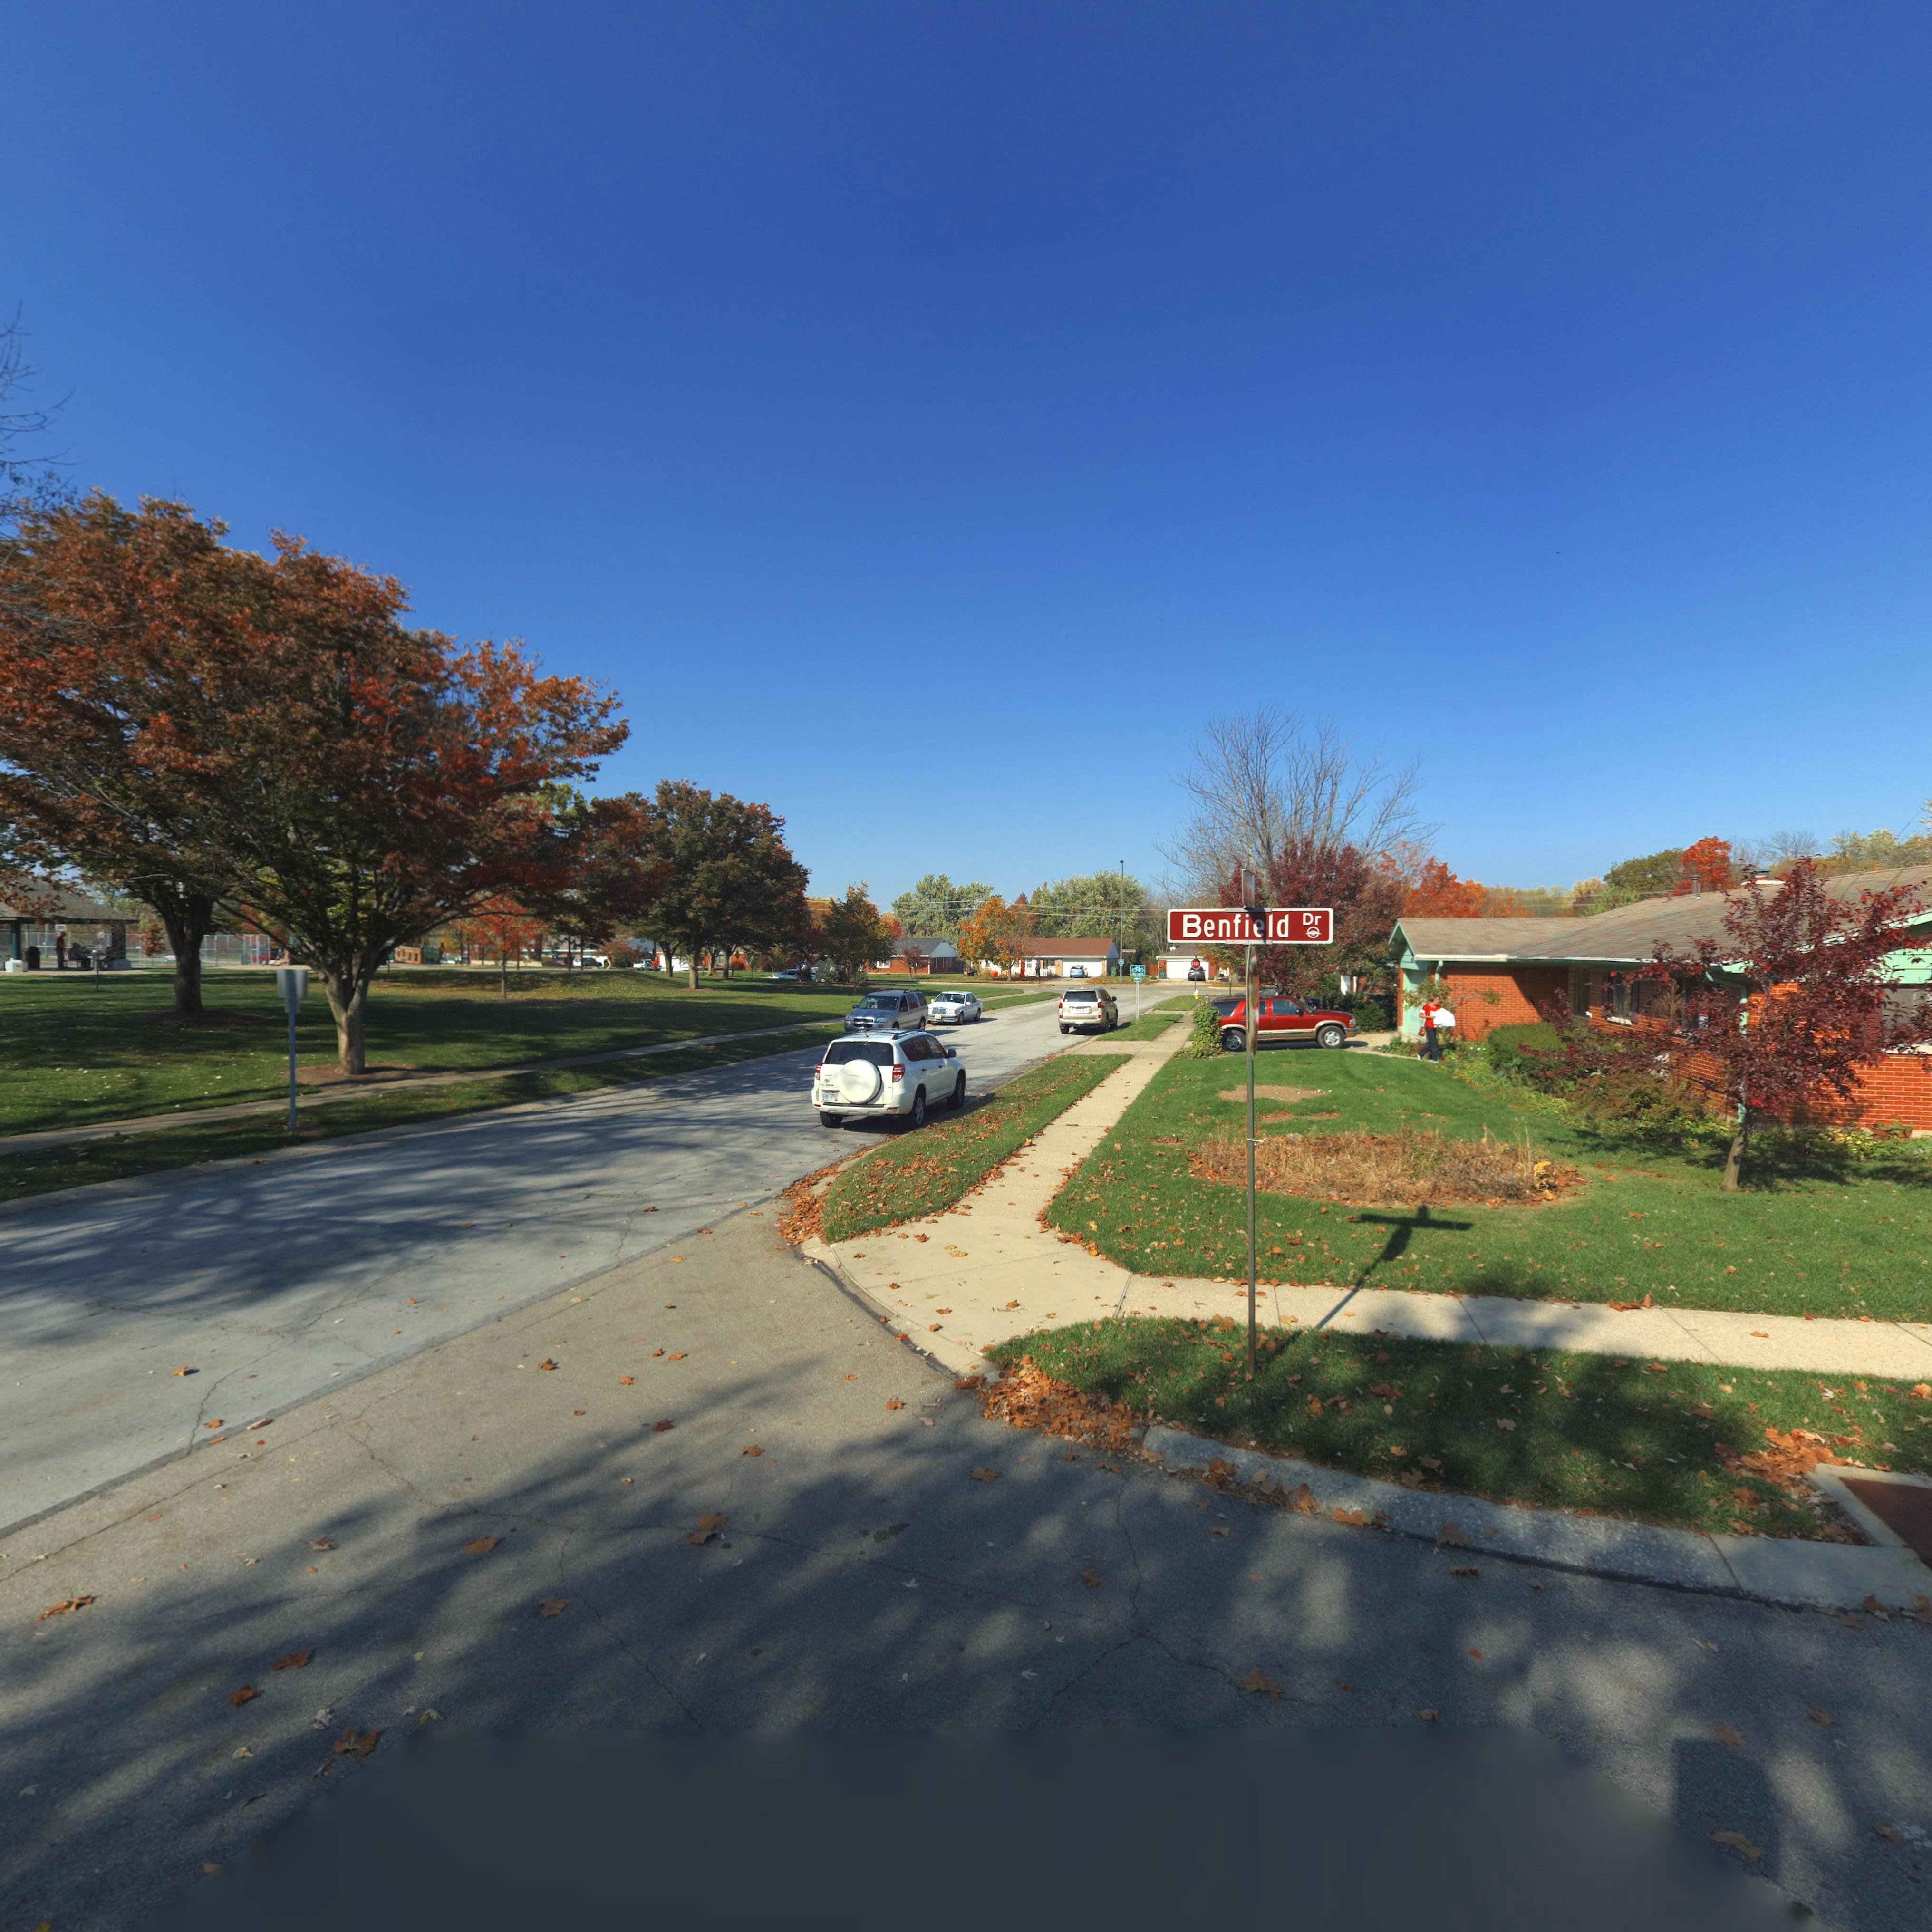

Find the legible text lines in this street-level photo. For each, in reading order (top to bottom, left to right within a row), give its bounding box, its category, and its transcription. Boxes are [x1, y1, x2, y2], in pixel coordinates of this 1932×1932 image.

[1180, 911, 1324, 939] StreetName: Benfield Dr